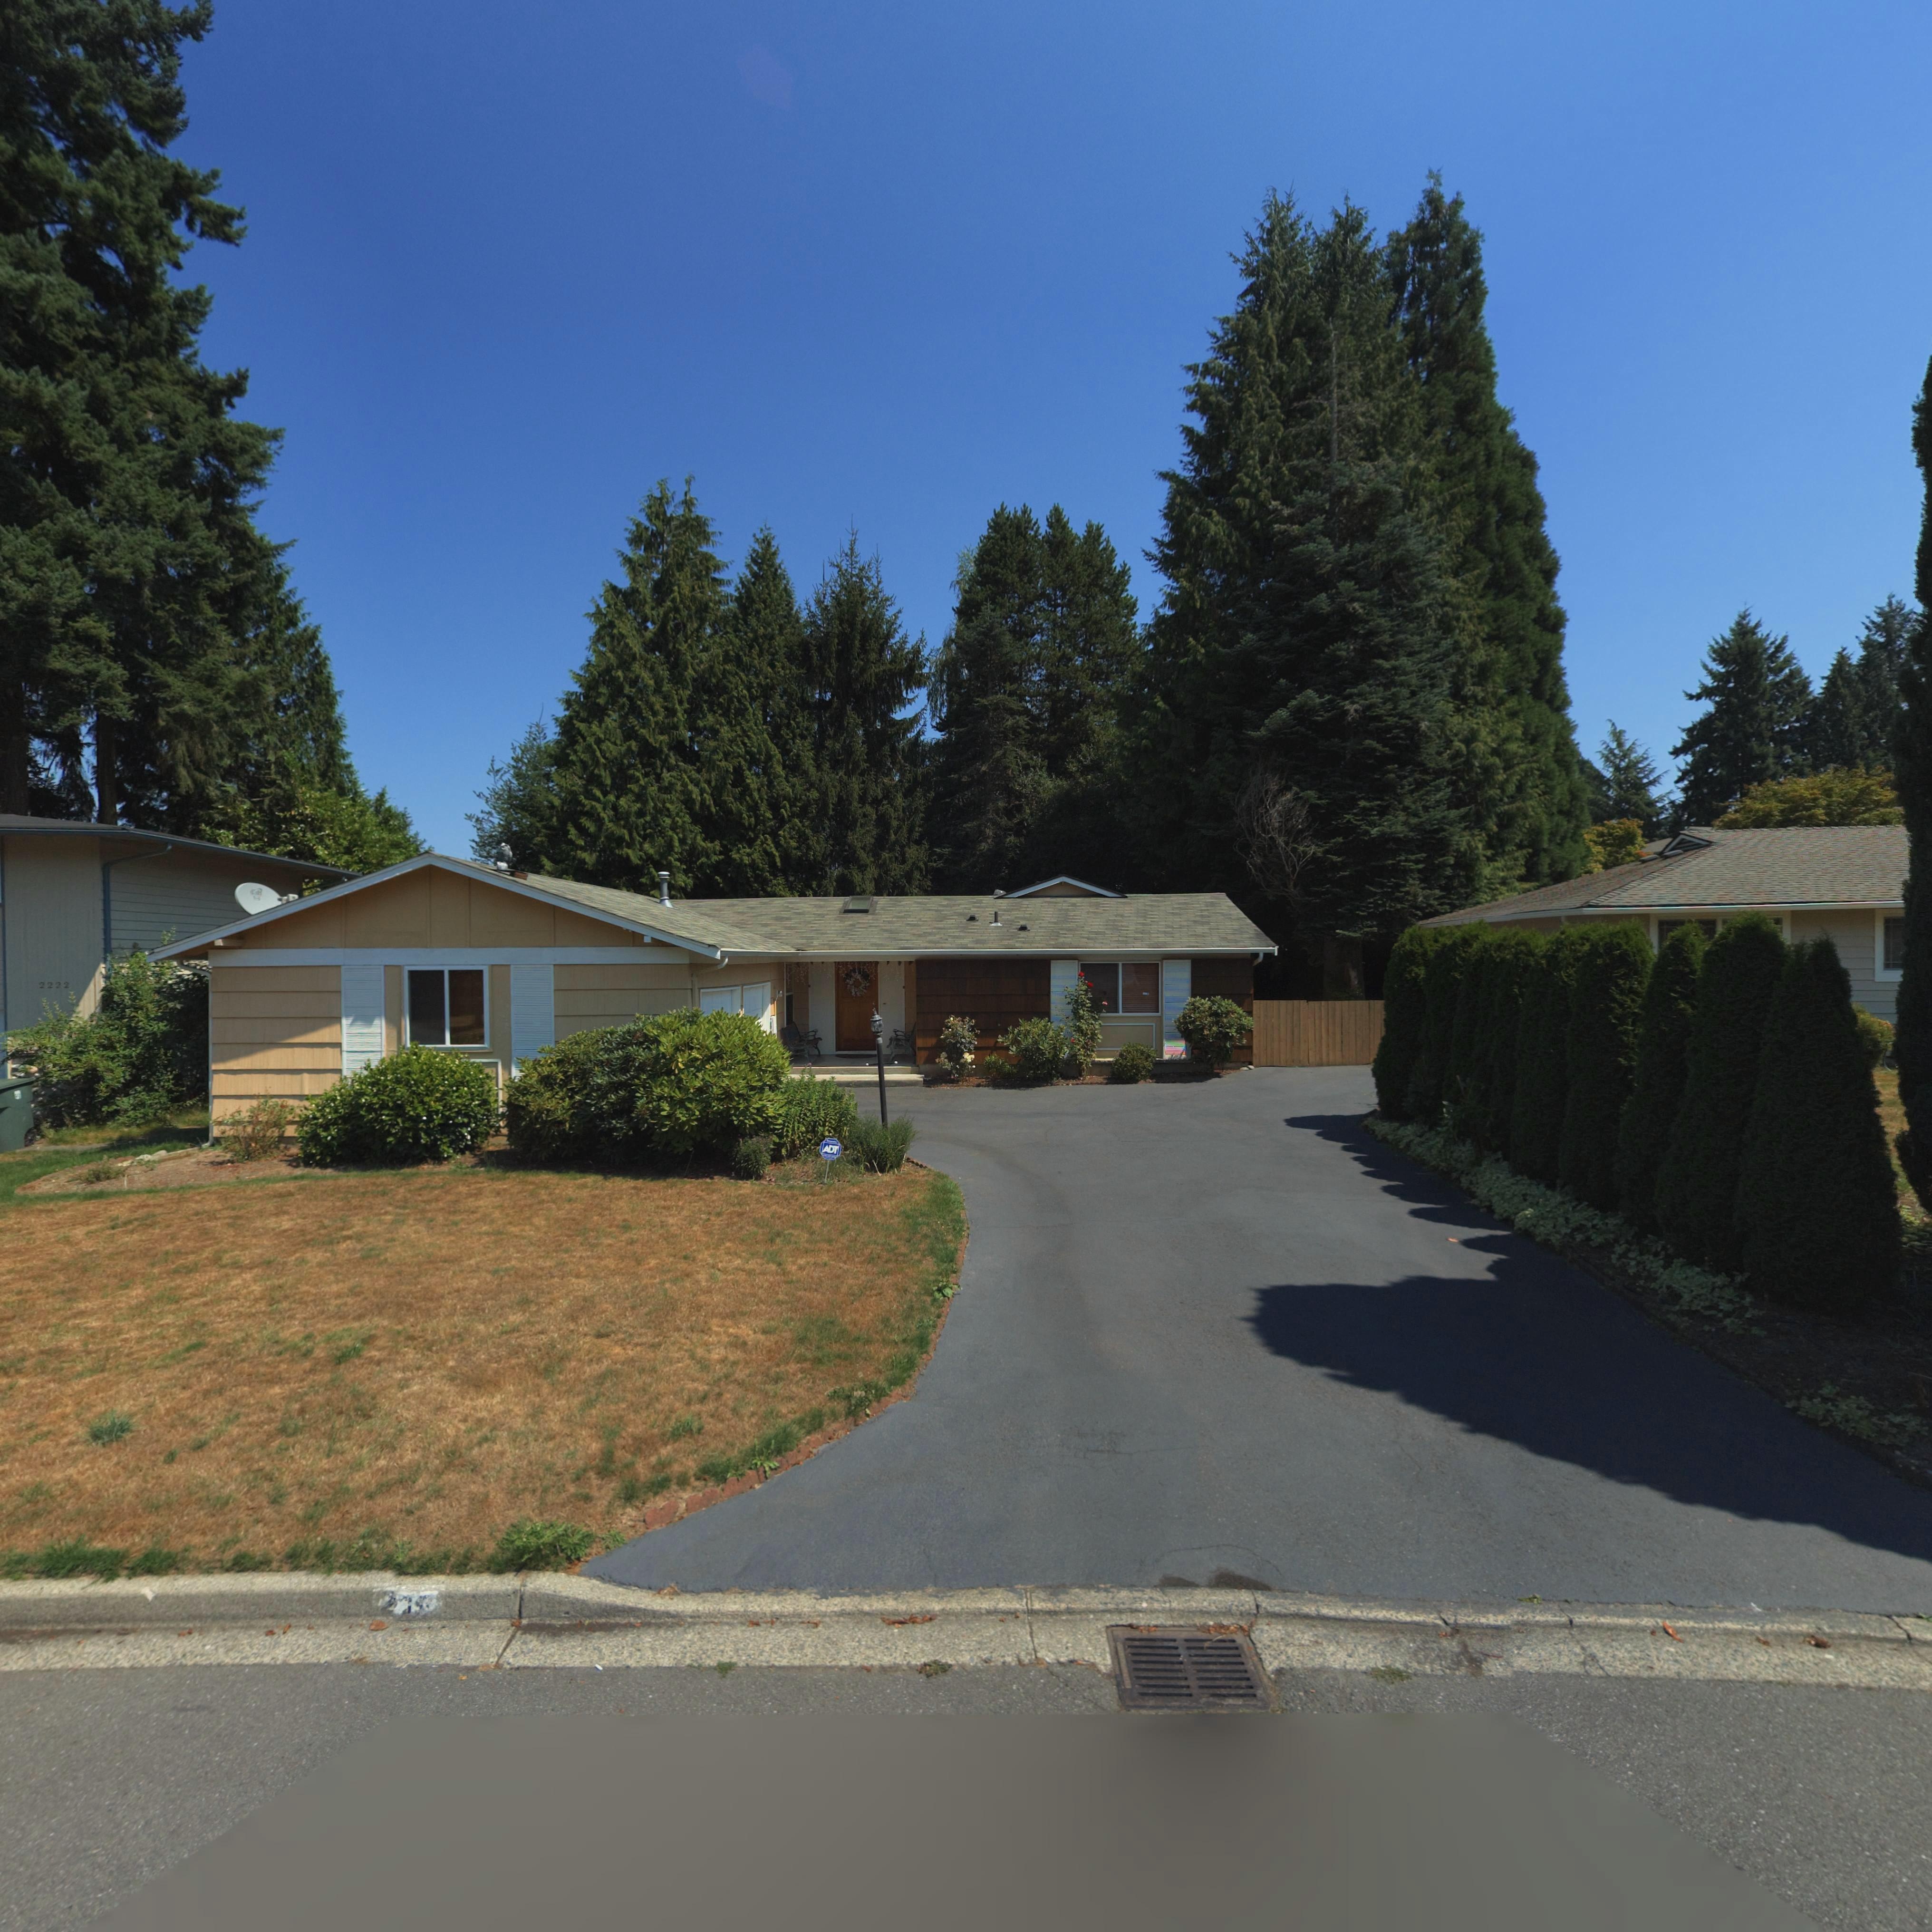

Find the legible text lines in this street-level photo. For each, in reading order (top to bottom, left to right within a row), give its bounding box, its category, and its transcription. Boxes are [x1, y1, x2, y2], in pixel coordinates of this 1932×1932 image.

[38, 981, 69, 988] StreetNumber: 2222